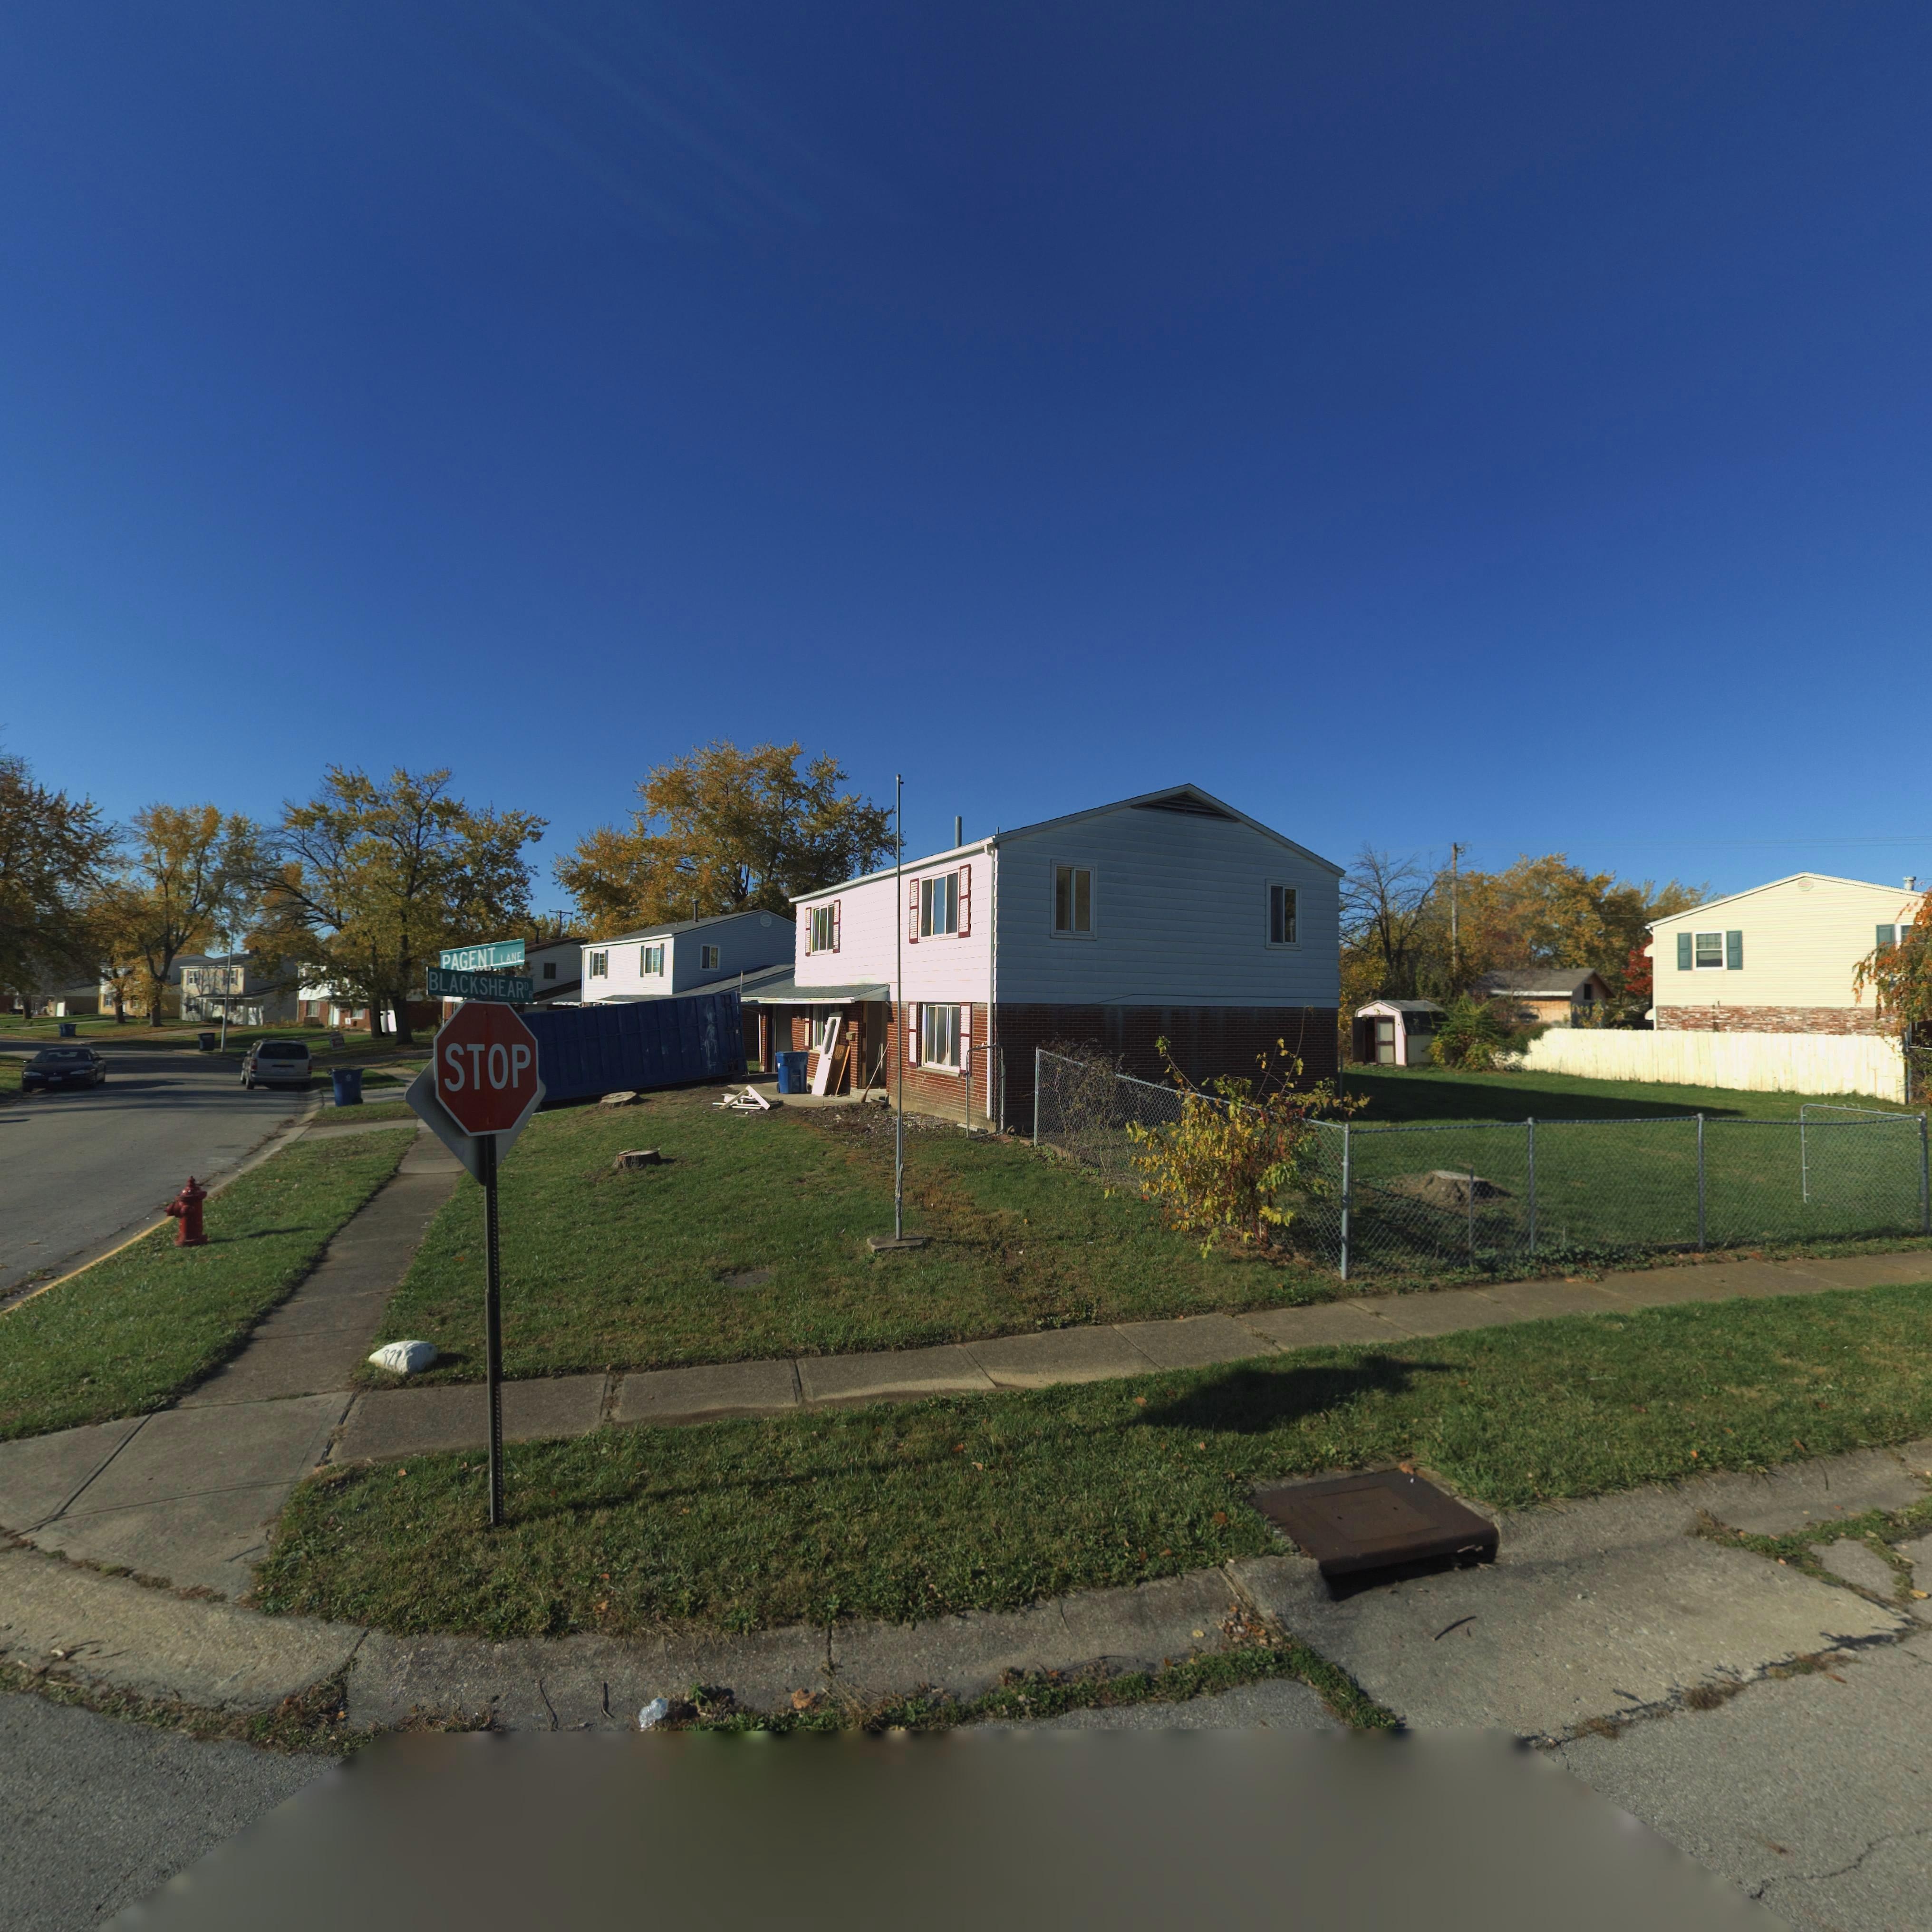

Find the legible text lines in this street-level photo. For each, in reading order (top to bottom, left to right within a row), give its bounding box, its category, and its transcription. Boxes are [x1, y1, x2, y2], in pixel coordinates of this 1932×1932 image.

[380, 1348, 404, 1371] StreetNumber: *21